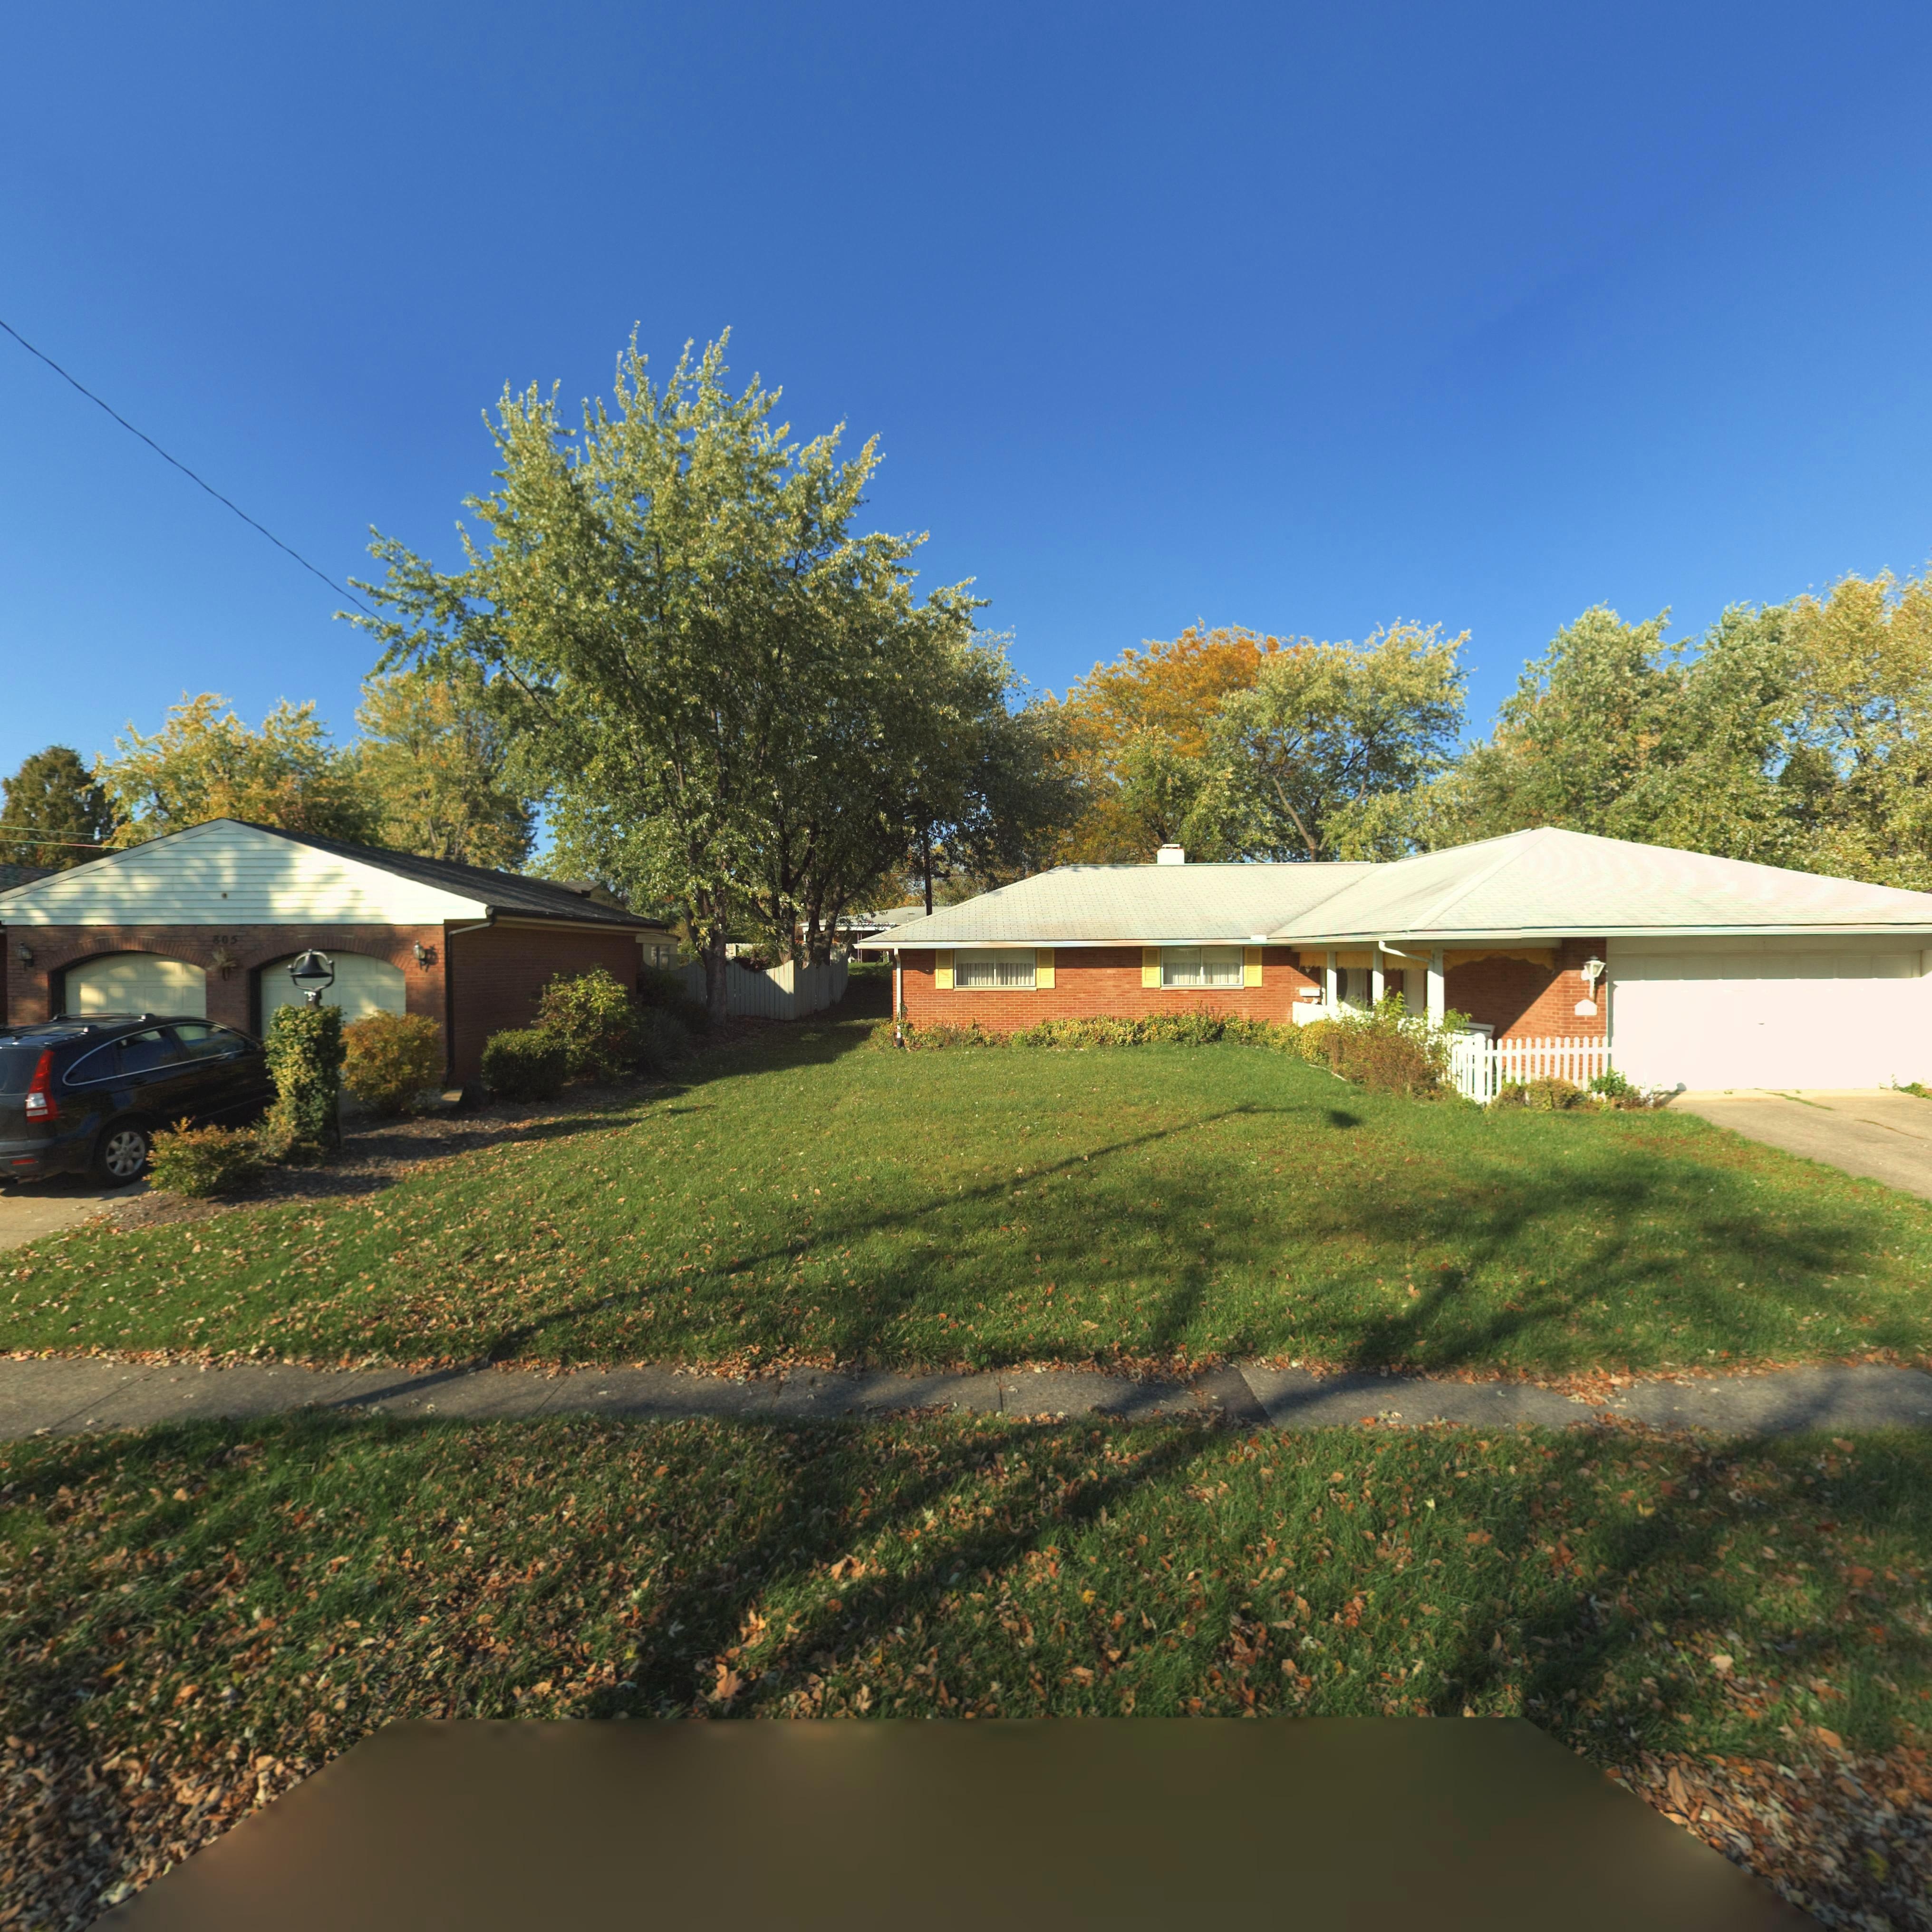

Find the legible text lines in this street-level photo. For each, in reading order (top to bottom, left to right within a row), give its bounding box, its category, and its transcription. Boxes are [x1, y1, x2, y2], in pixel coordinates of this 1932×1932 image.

[211, 934, 238, 944] StreetNumber: 805